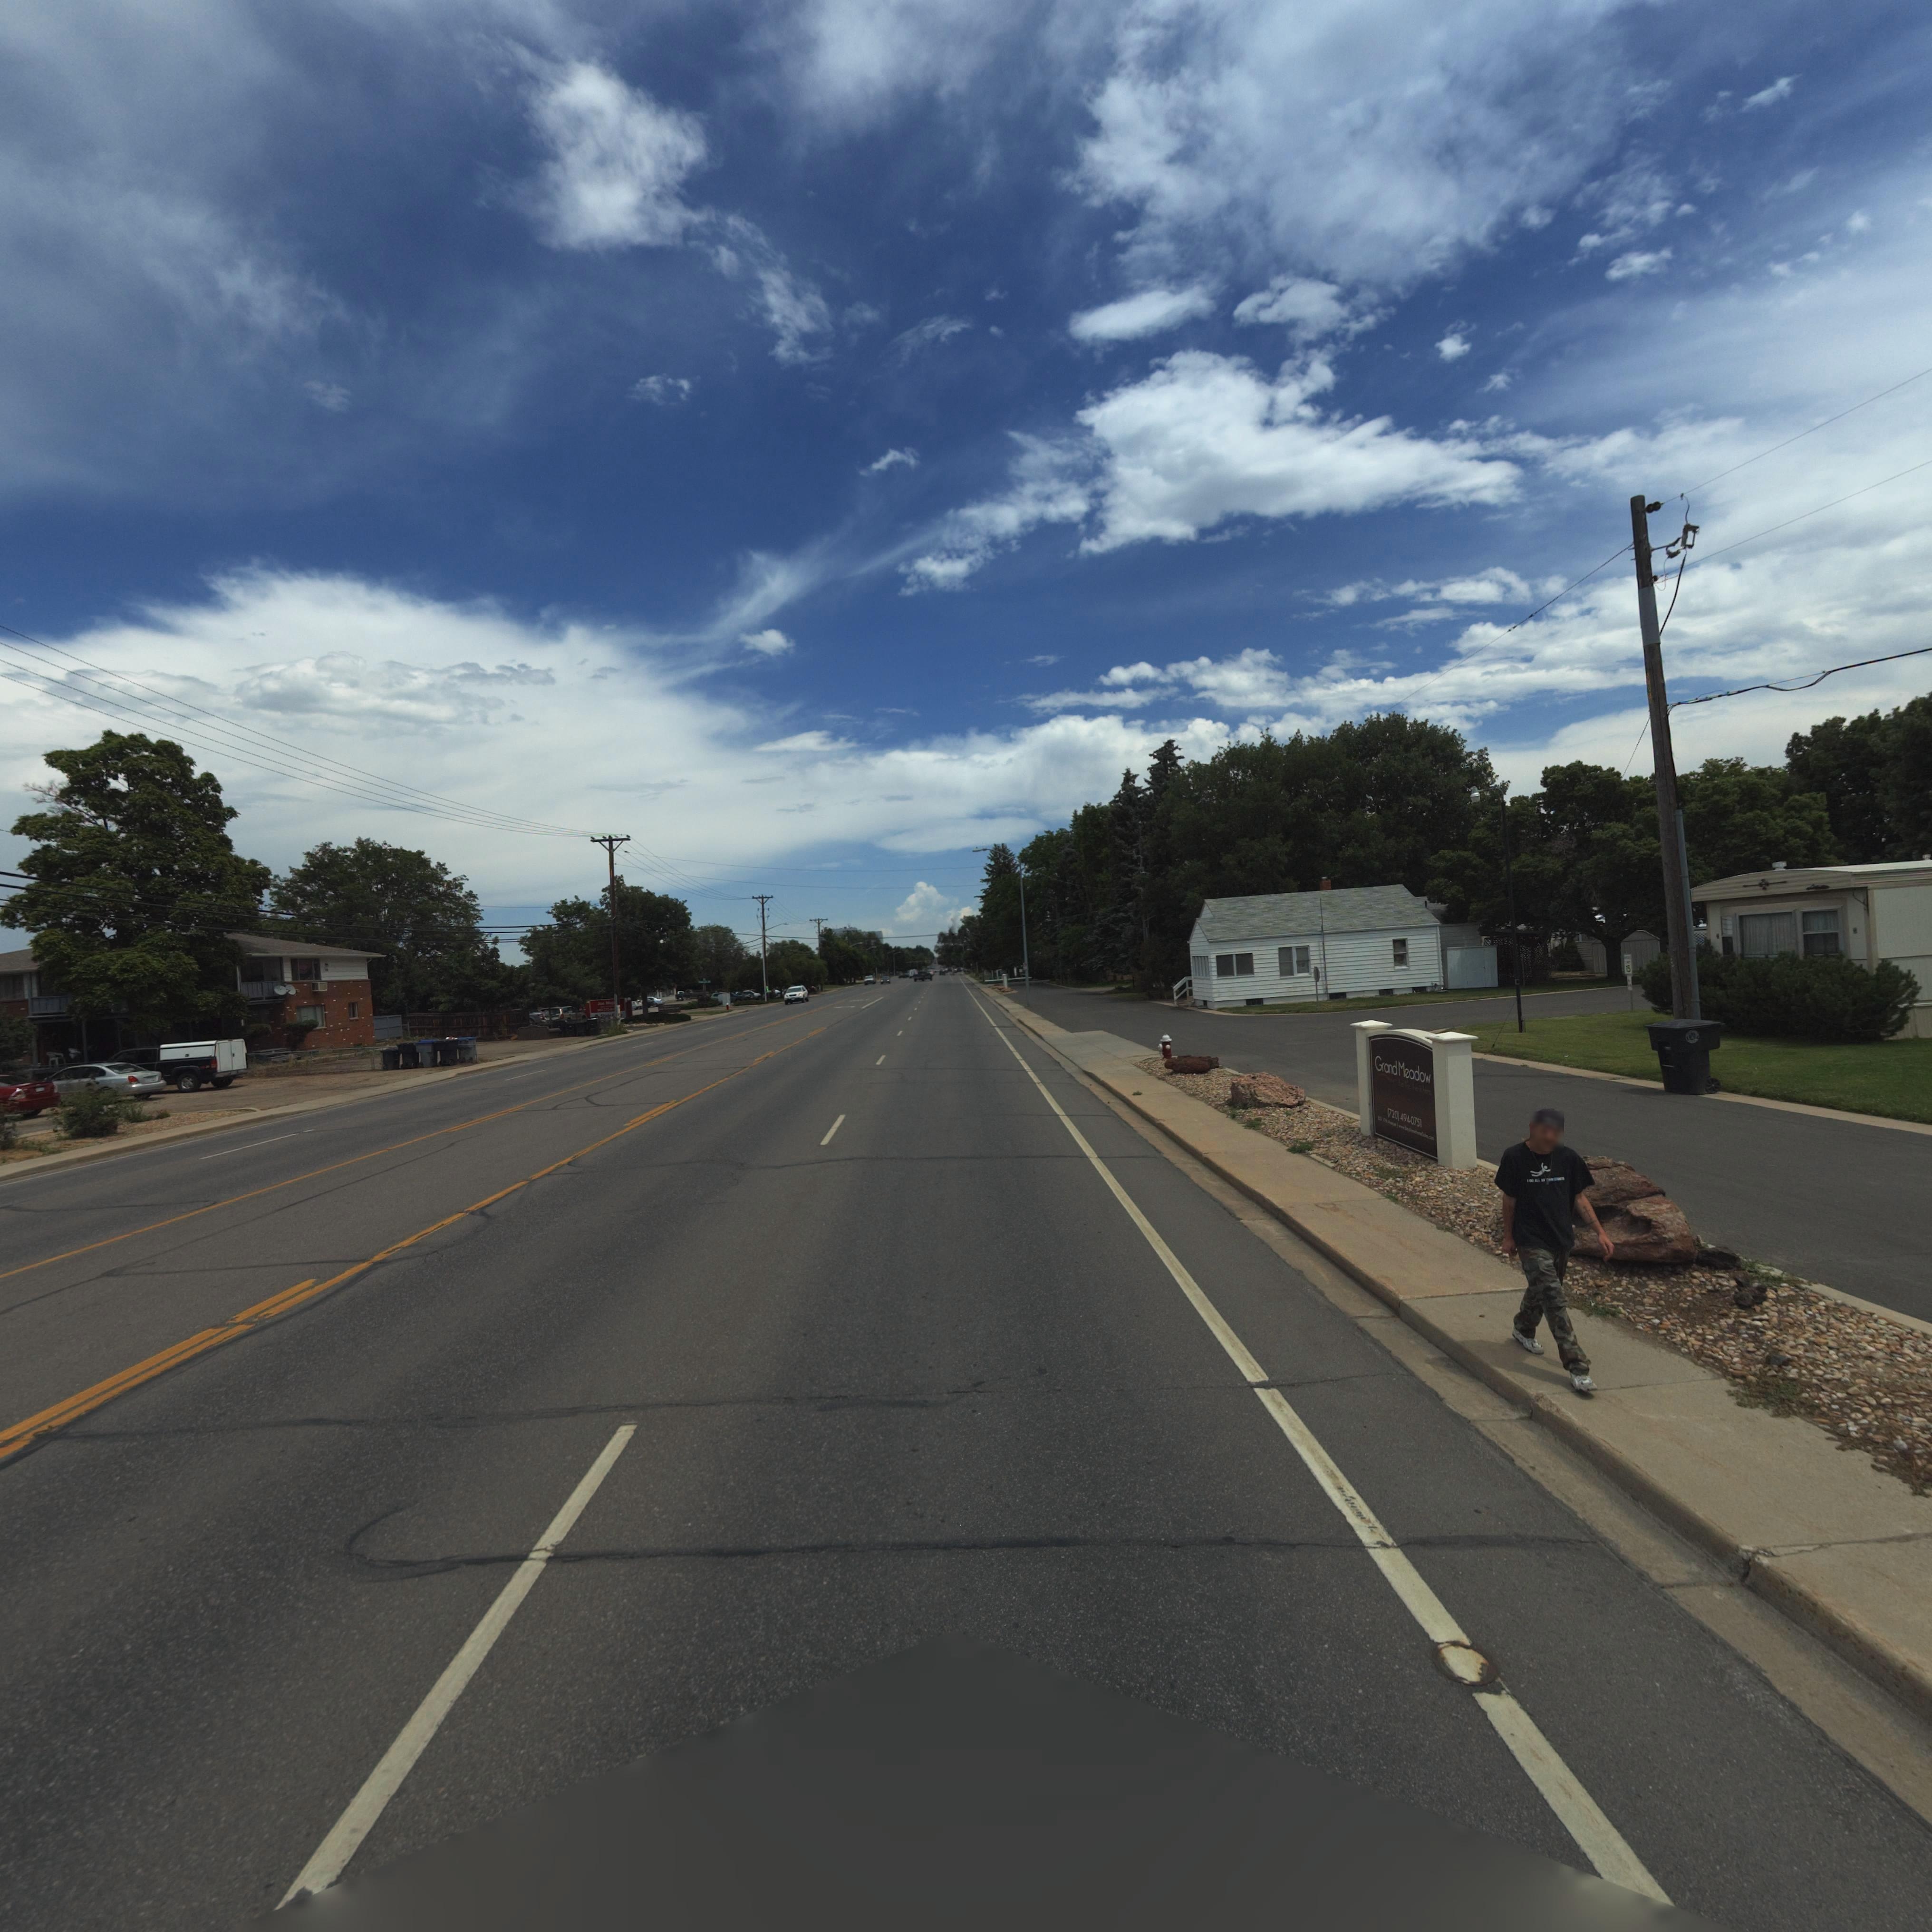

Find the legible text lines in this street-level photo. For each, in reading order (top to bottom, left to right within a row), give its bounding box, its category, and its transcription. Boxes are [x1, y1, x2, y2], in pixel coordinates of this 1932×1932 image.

[600, 1013, 623, 1018] BusinessName: Sta** ****
[1374, 1054, 1431, 1084] BusinessName: Gra*d Meadow